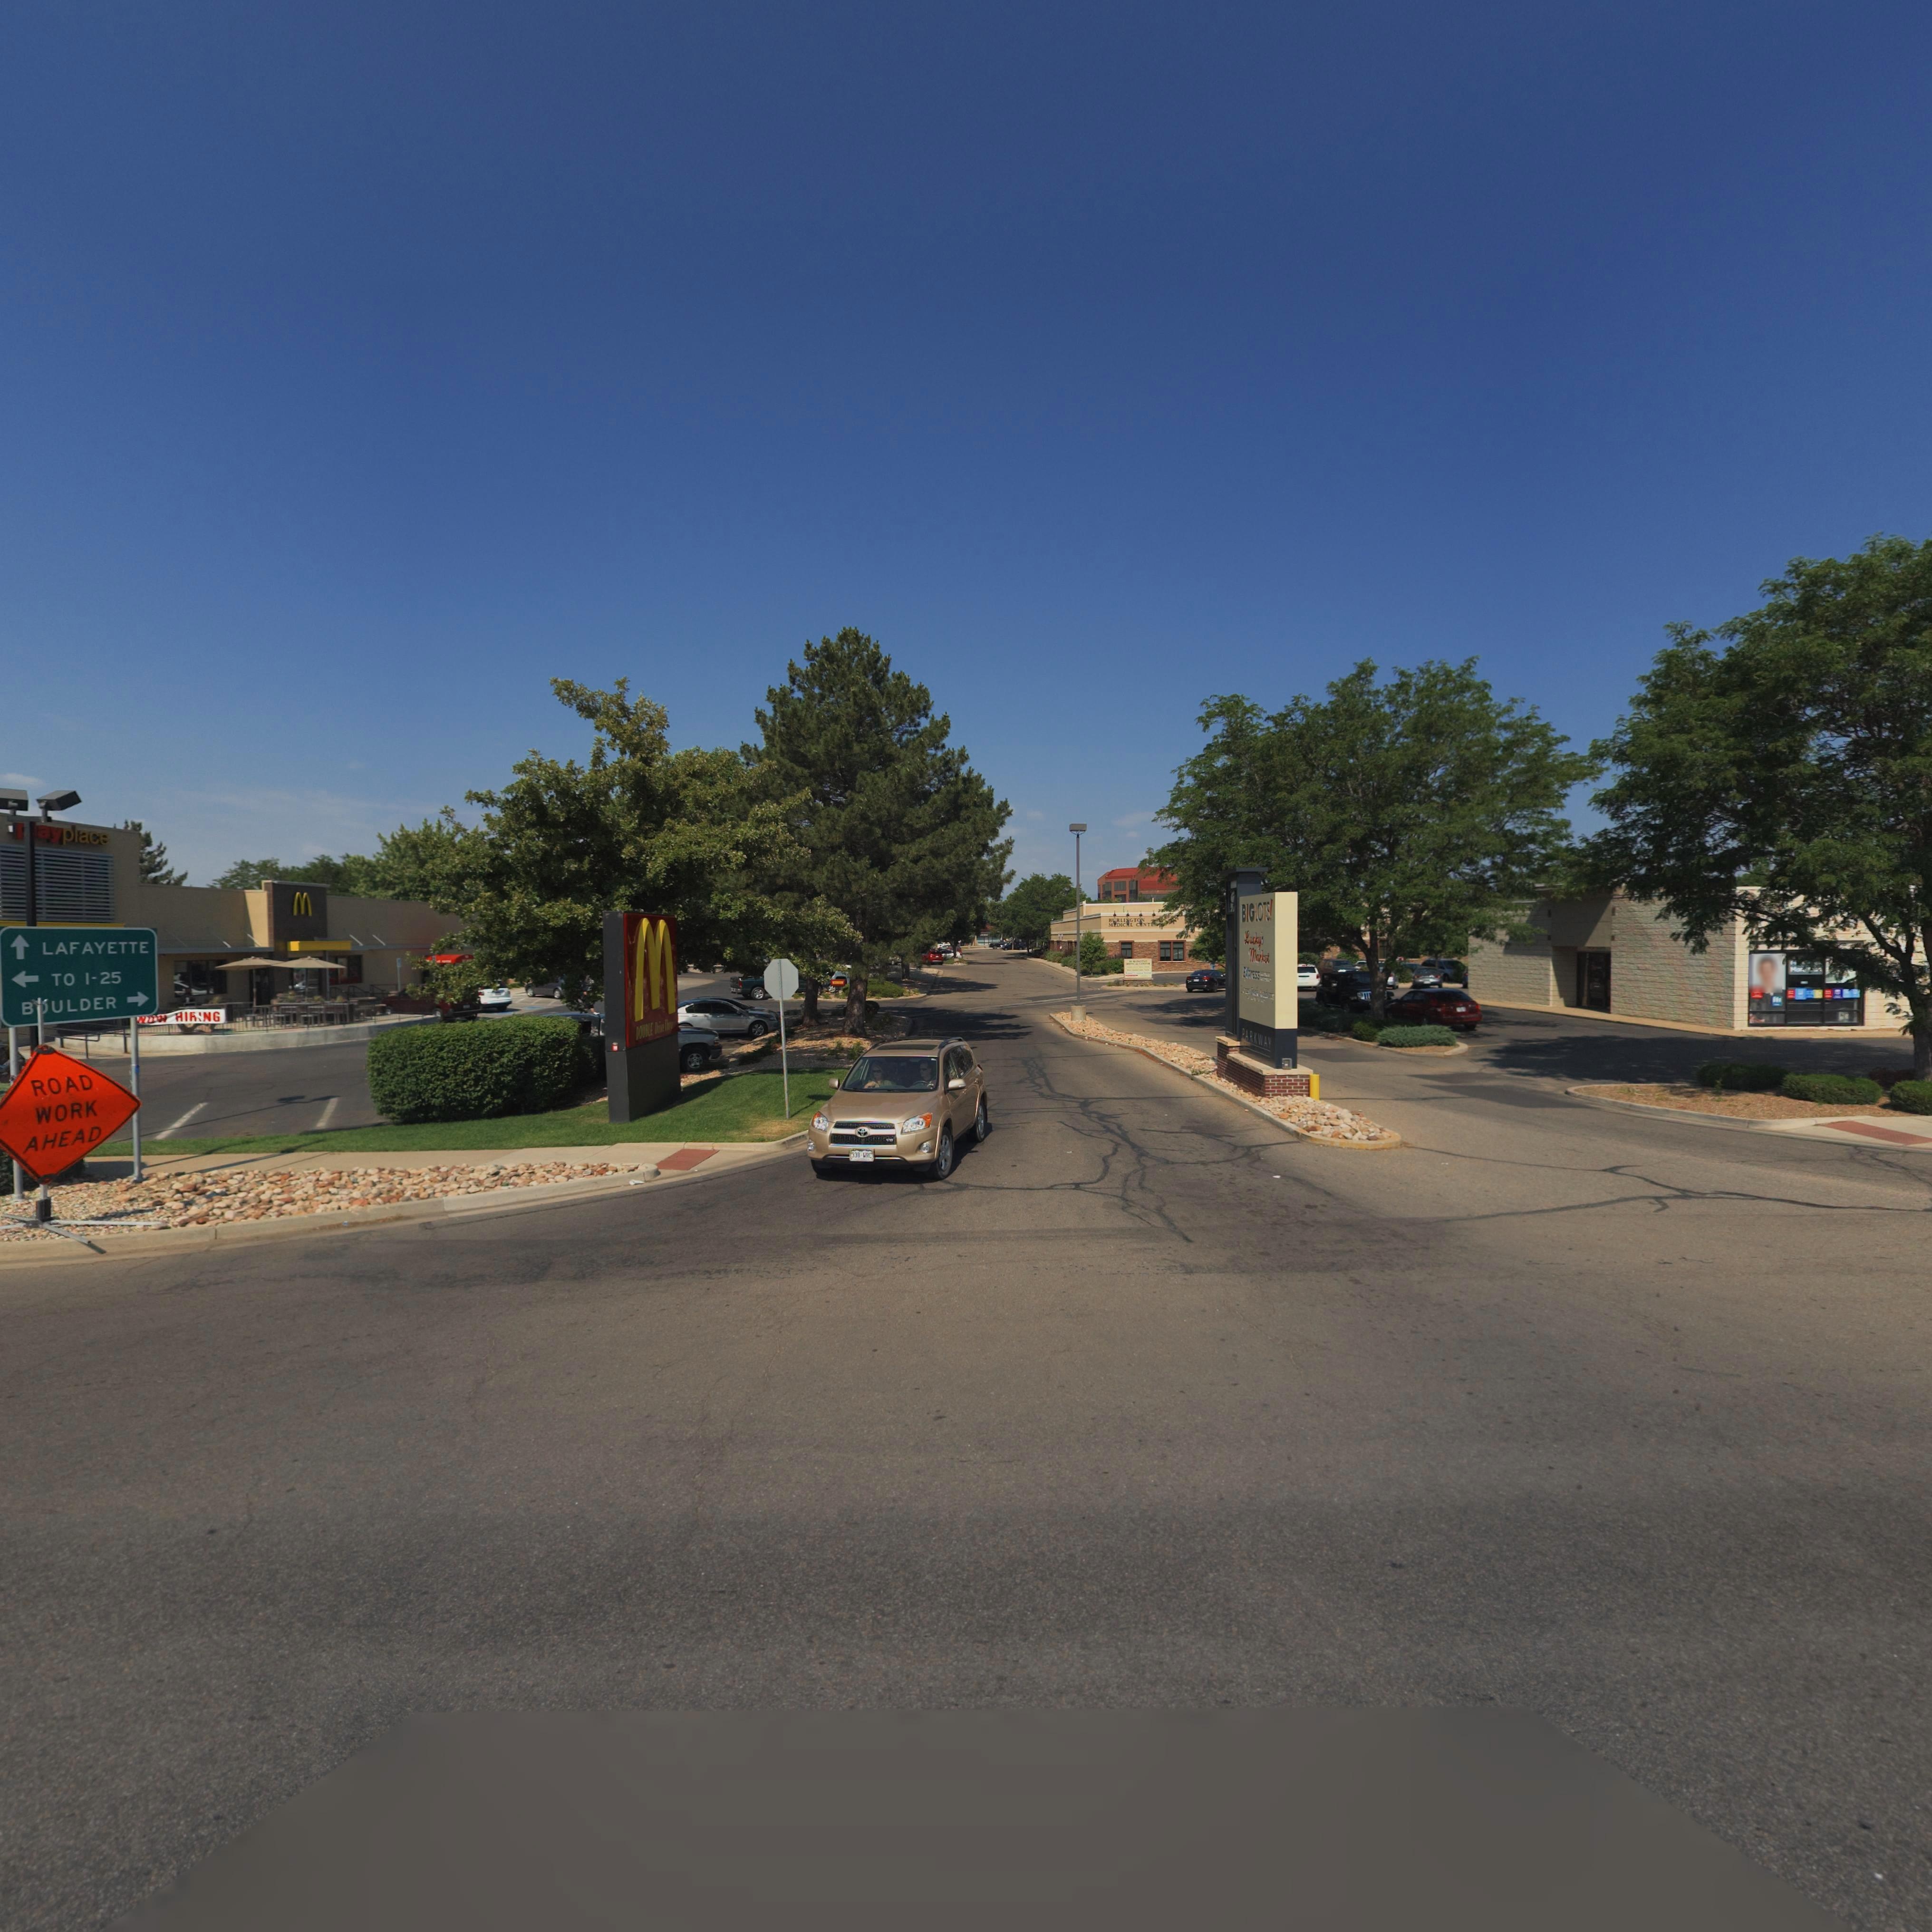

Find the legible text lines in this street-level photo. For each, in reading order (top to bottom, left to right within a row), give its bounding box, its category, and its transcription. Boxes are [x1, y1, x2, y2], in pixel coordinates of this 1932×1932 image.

[1241, 901, 1270, 923] BusinessName: BIGLOTS
[1244, 929, 1265, 951] BusinessName: Luckys
[1248, 947, 1270, 964] BusinessName: market
[1243, 966, 1261, 980] BusinessName: E*press
[1240, 984, 1275, 1005] BusinessName: Lo**s Peak Academy